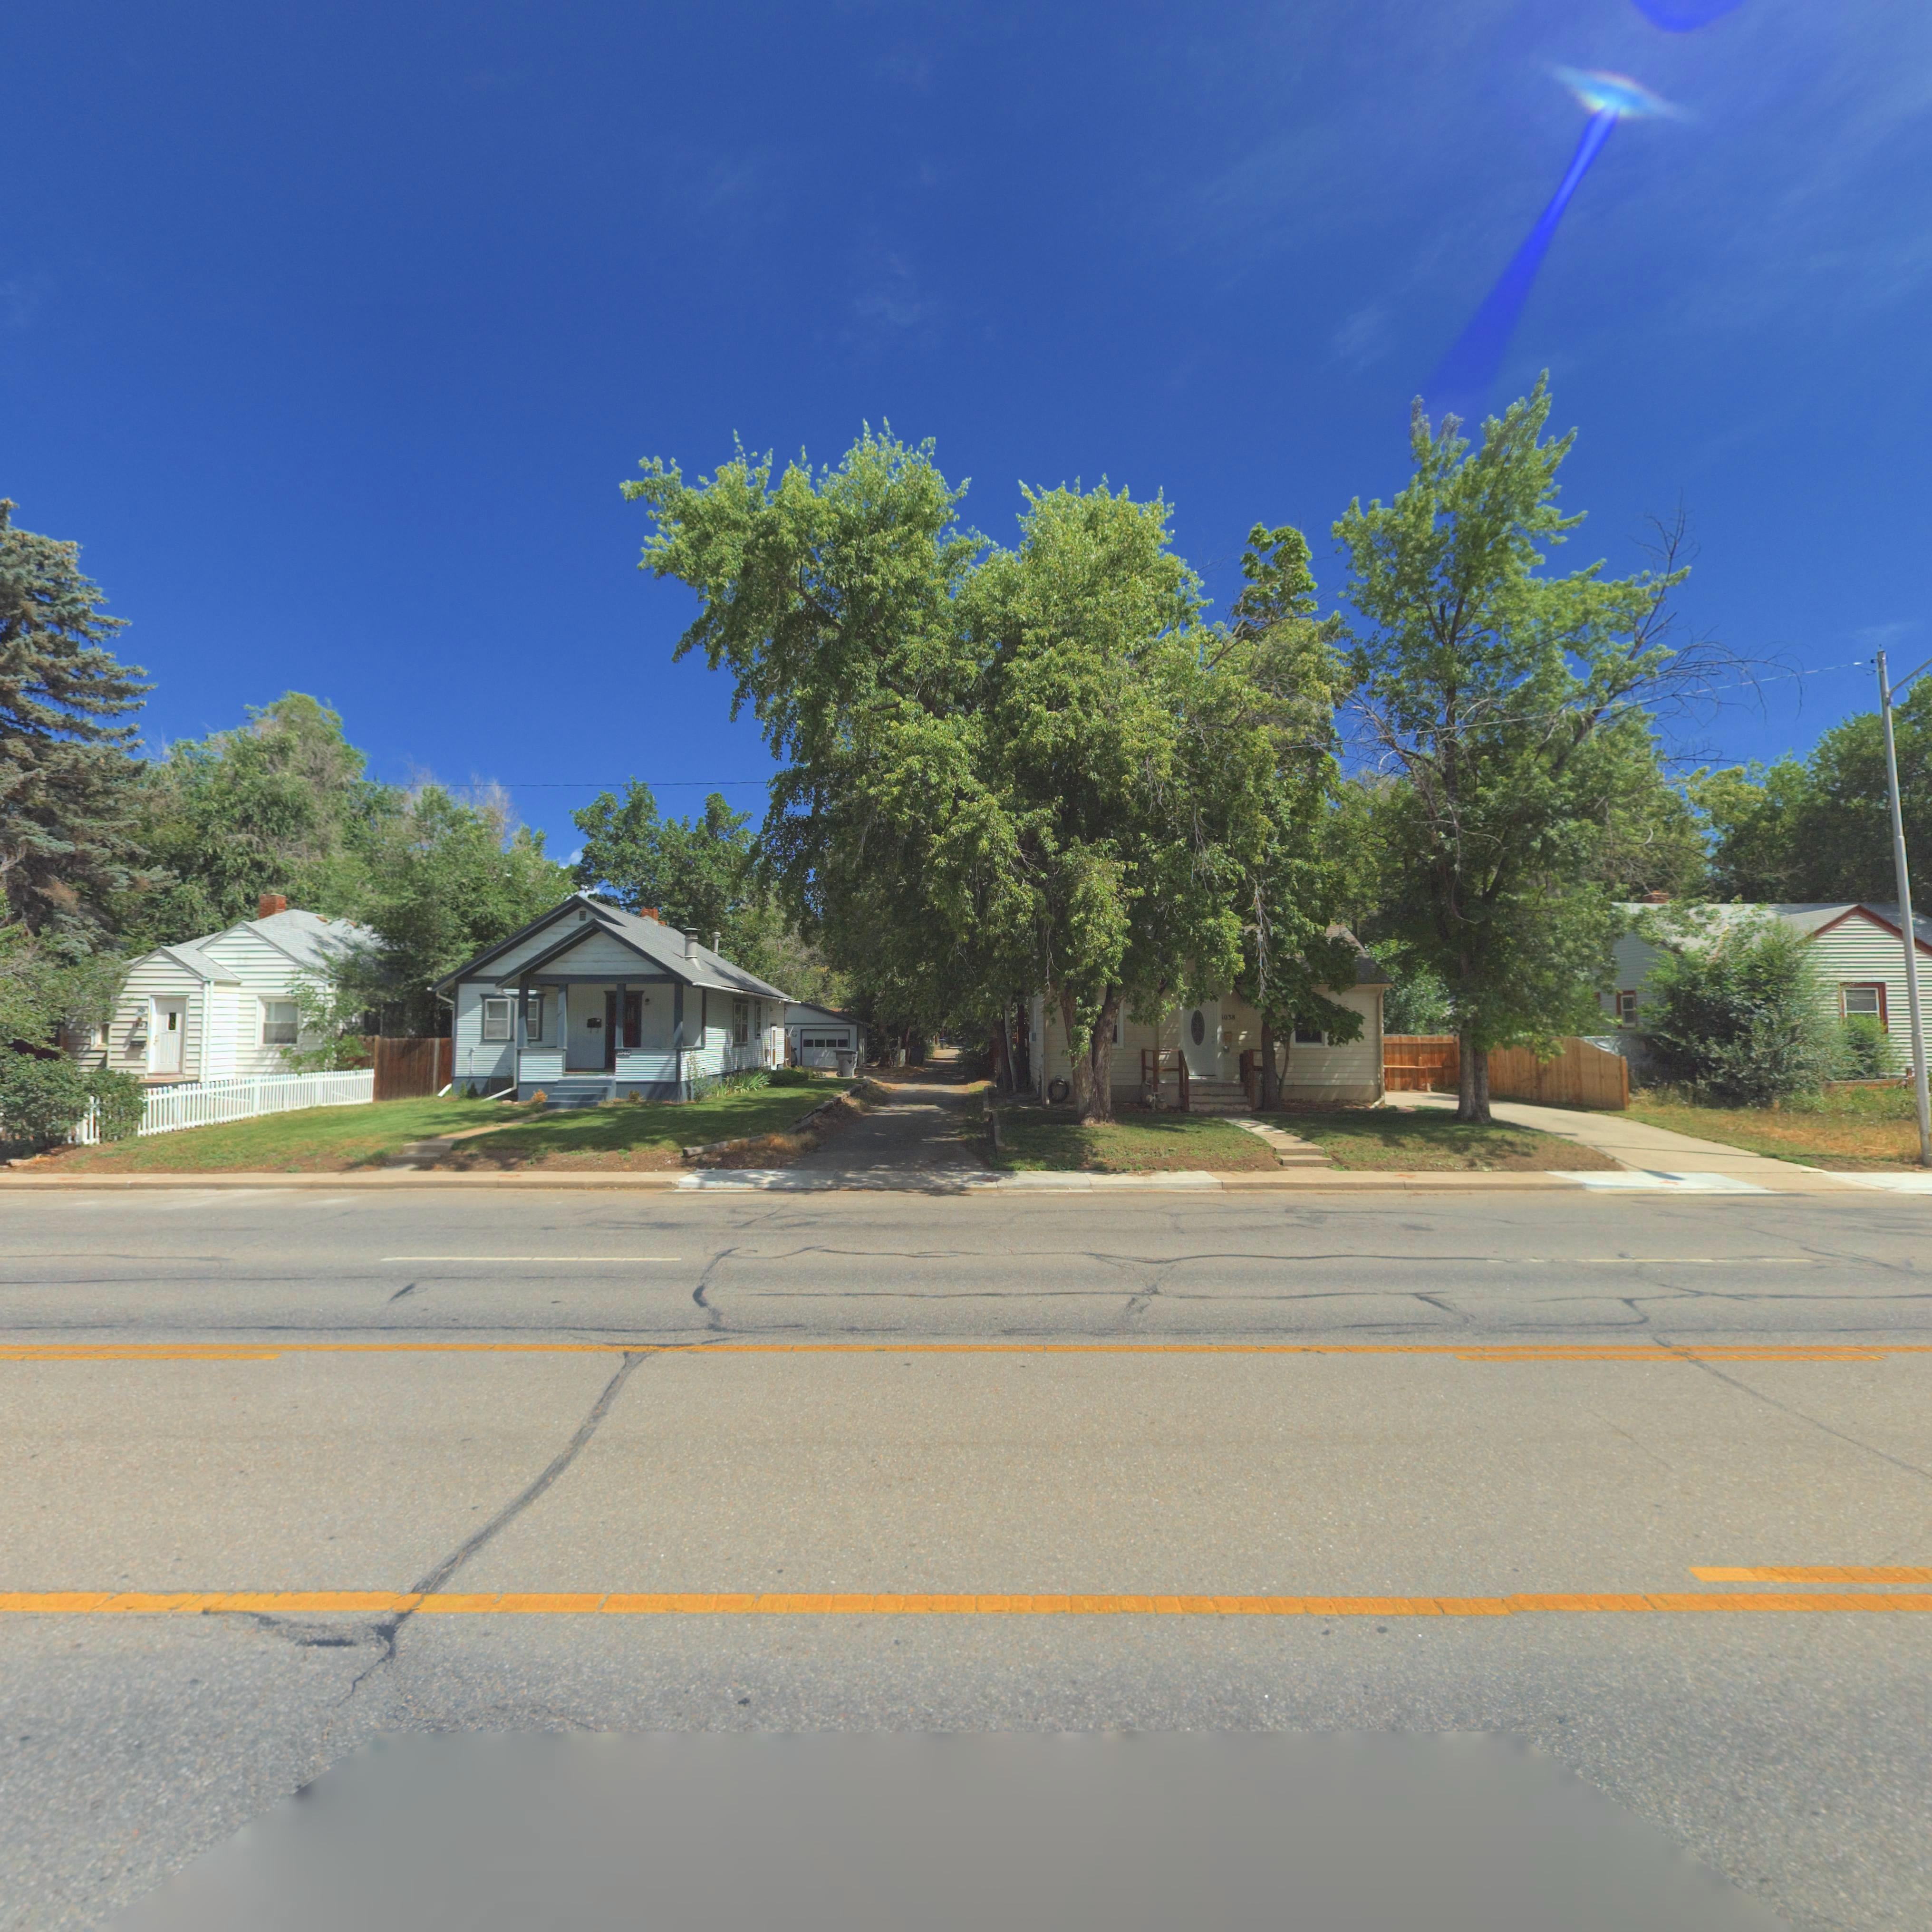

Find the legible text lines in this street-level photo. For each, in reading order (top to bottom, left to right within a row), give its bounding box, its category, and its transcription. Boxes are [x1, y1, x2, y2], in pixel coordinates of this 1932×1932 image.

[1221, 1014, 1236, 1020] StreetNumber: 1038
[130, 1021, 148, 1029] StreetNumber: 10*2
[617, 1050, 631, 1055] StreetNumber: 1040